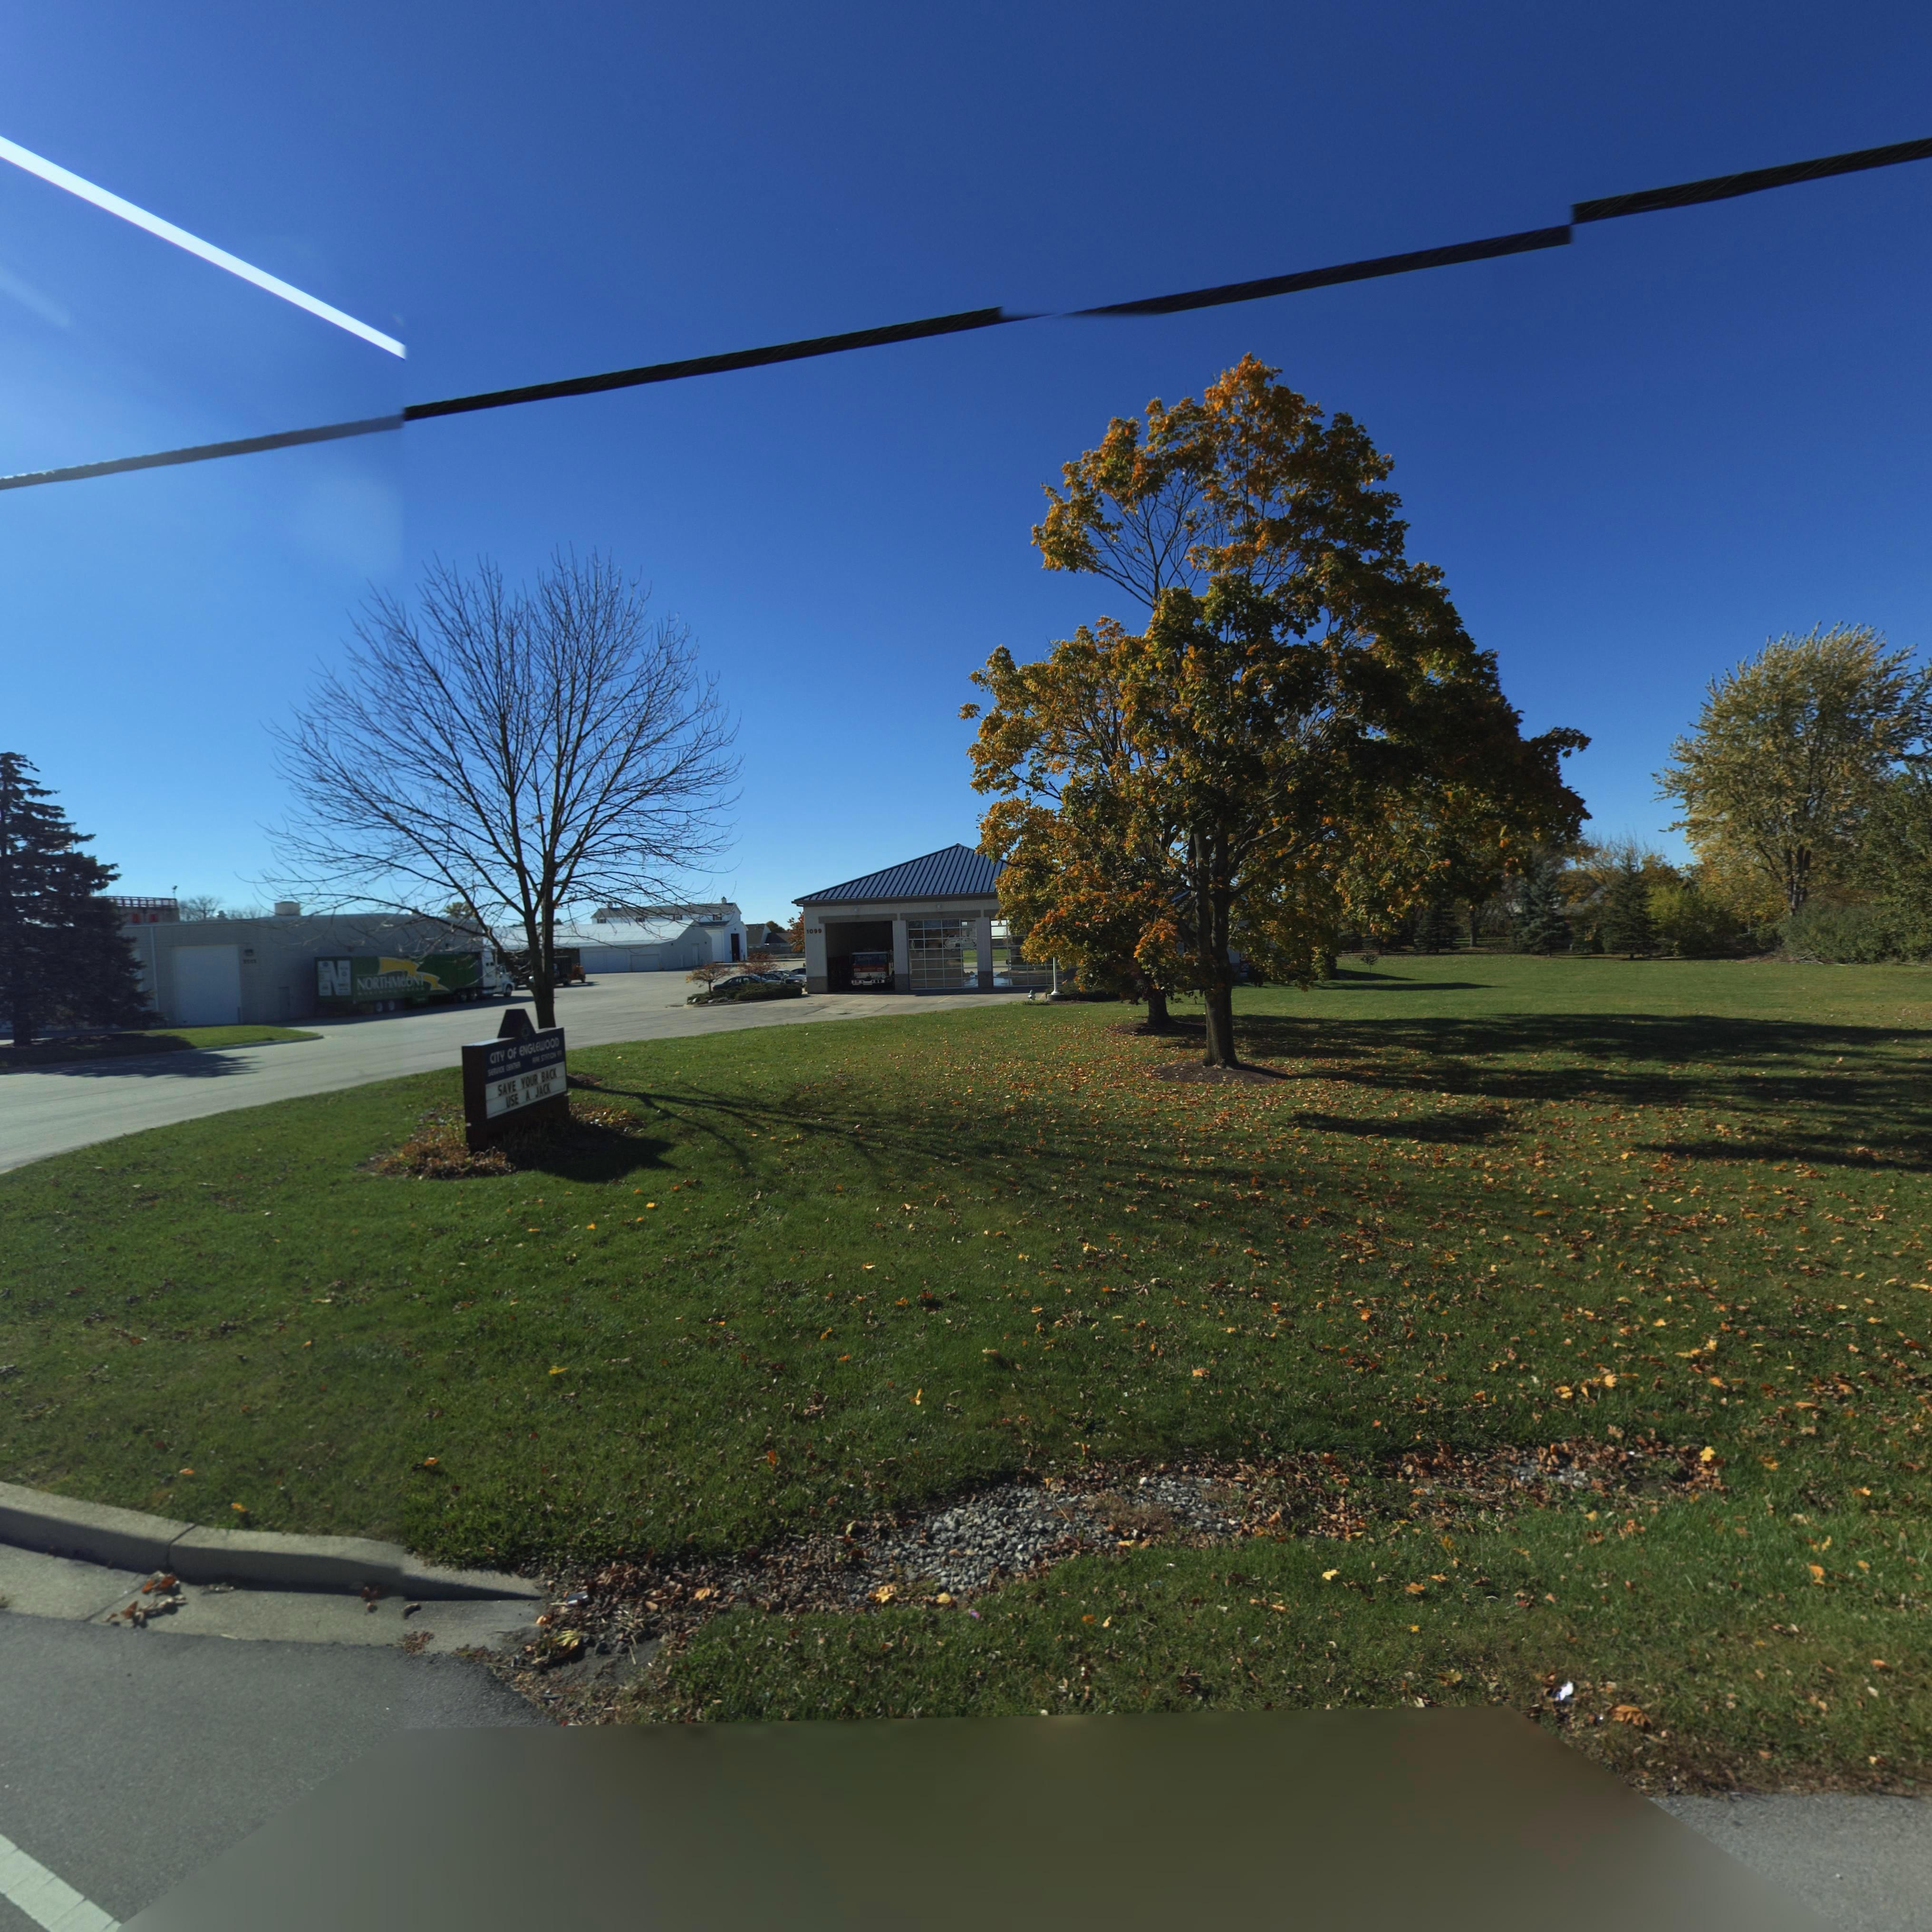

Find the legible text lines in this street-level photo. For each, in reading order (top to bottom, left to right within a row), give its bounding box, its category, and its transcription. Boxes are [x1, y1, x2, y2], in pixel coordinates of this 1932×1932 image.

[805, 927, 823, 935] StreetNumber: 1099